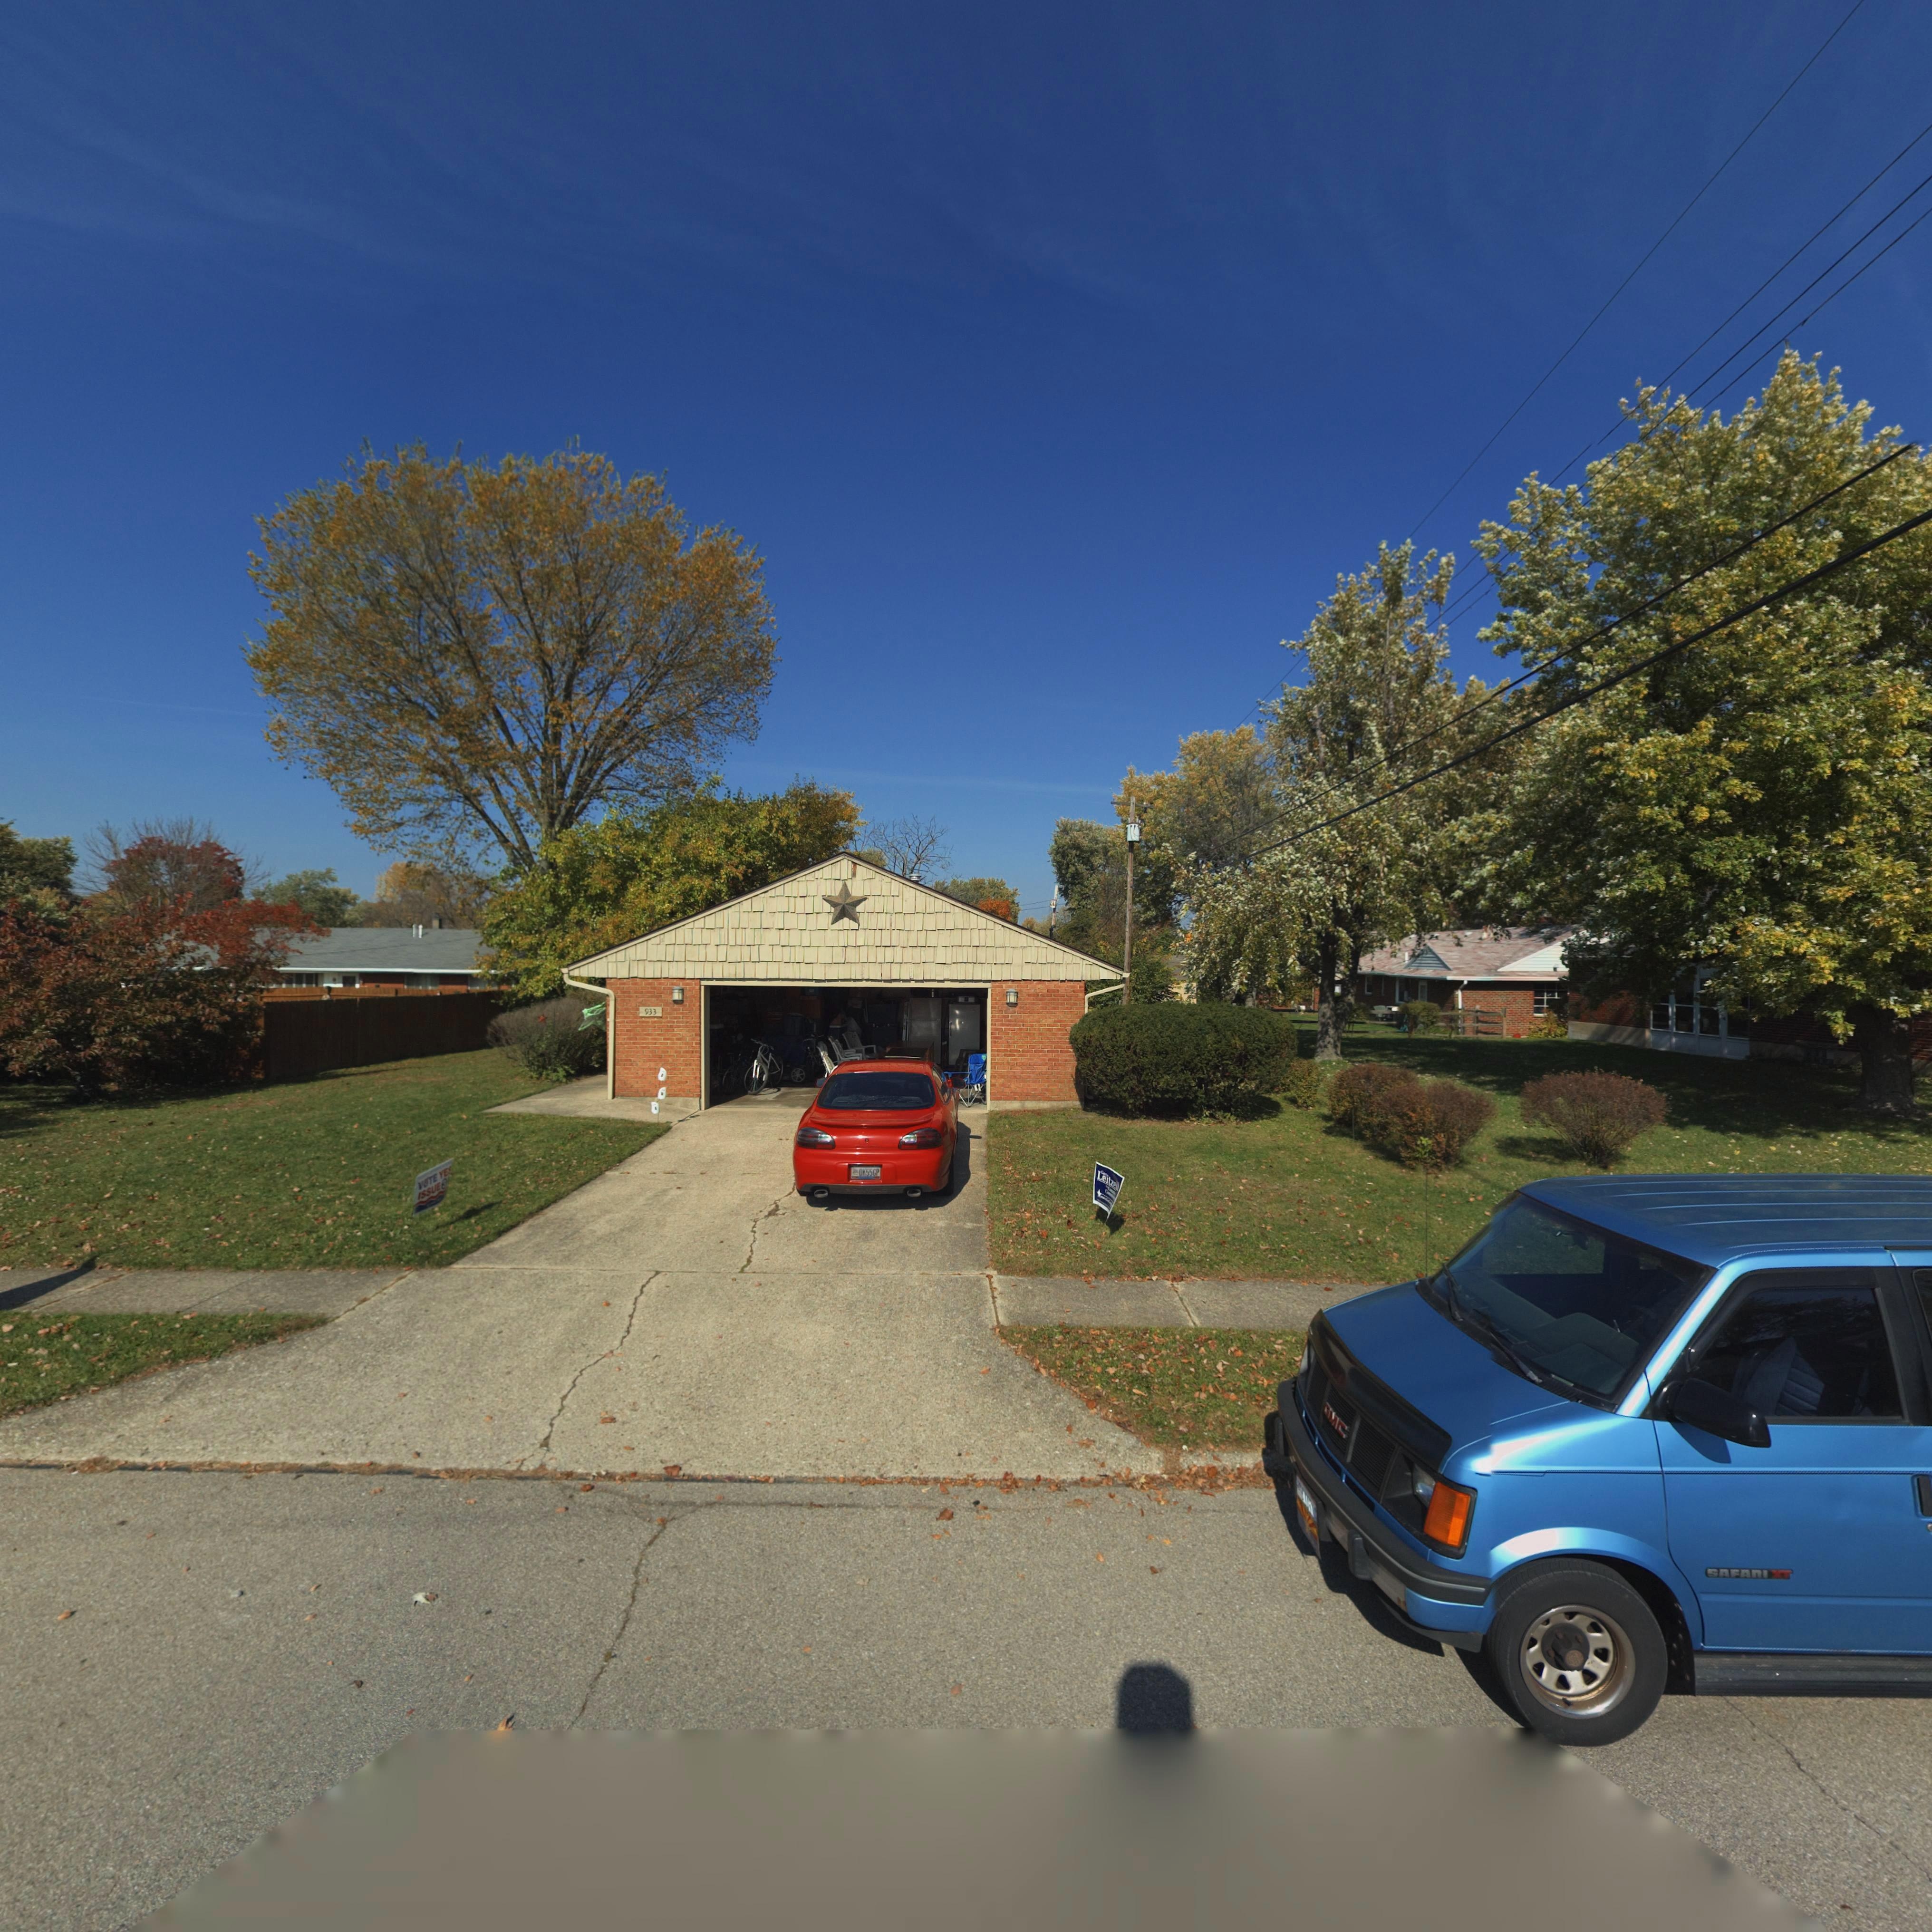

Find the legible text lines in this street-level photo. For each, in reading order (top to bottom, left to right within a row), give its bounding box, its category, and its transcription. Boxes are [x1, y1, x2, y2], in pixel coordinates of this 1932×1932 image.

[644, 1007, 658, 1016] StreetNumber: 933
[416, 1166, 449, 1192] None: VOTE YE
[858, 1166, 881, 1178] None: DK55*P
[1096, 1168, 1118, 1190] None: Leitze
[415, 1180, 443, 1202] None: ISSUE
[1323, 1401, 1349, 1440] None: GMC
[1704, 1566, 1794, 1581] None: SAFARI XT